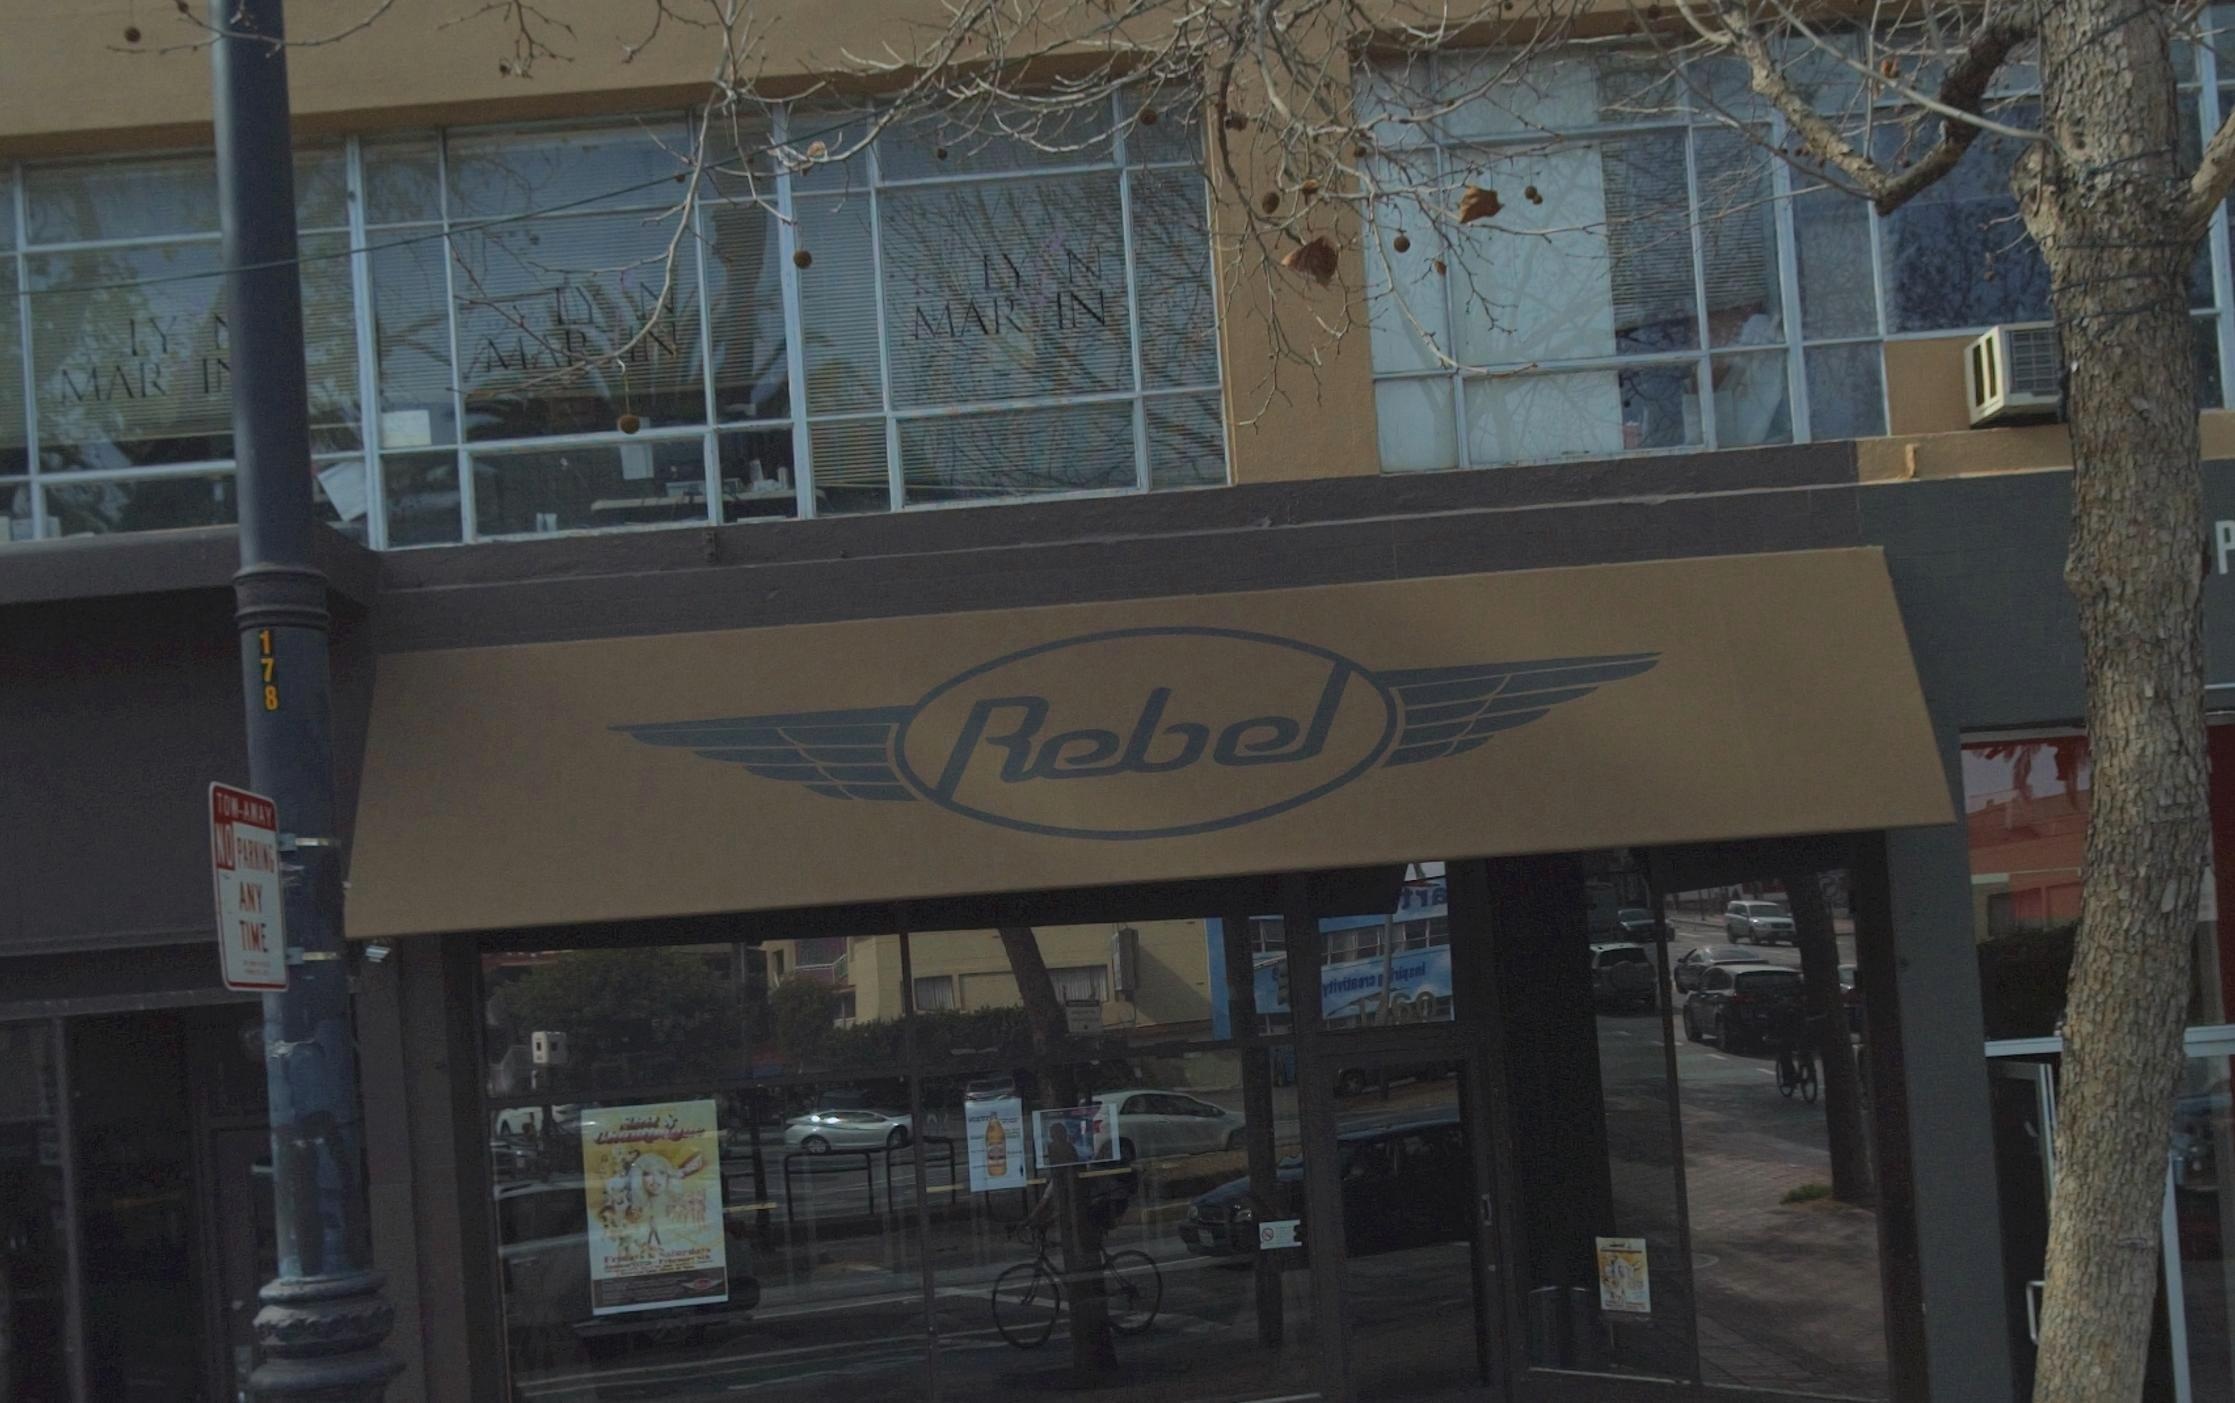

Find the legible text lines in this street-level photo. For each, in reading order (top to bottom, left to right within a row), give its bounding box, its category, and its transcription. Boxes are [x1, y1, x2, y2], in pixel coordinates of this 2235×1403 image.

[124, 309, 184, 361] BusinessName: LY
[54, 353, 216, 408] BusinessName: MAR*I
[251, 623, 290, 721] None: 178
[923, 658, 1359, 799] BusinessName: Rebel
[211, 788, 276, 831] None: TO*-A*AY
[210, 817, 279, 878] None: NO PAR***G
[235, 876, 266, 917] None: ANY
[234, 917, 273, 957] None: TIME
[1319, 957, 1430, 1003] None: y*ivi***** ****i****